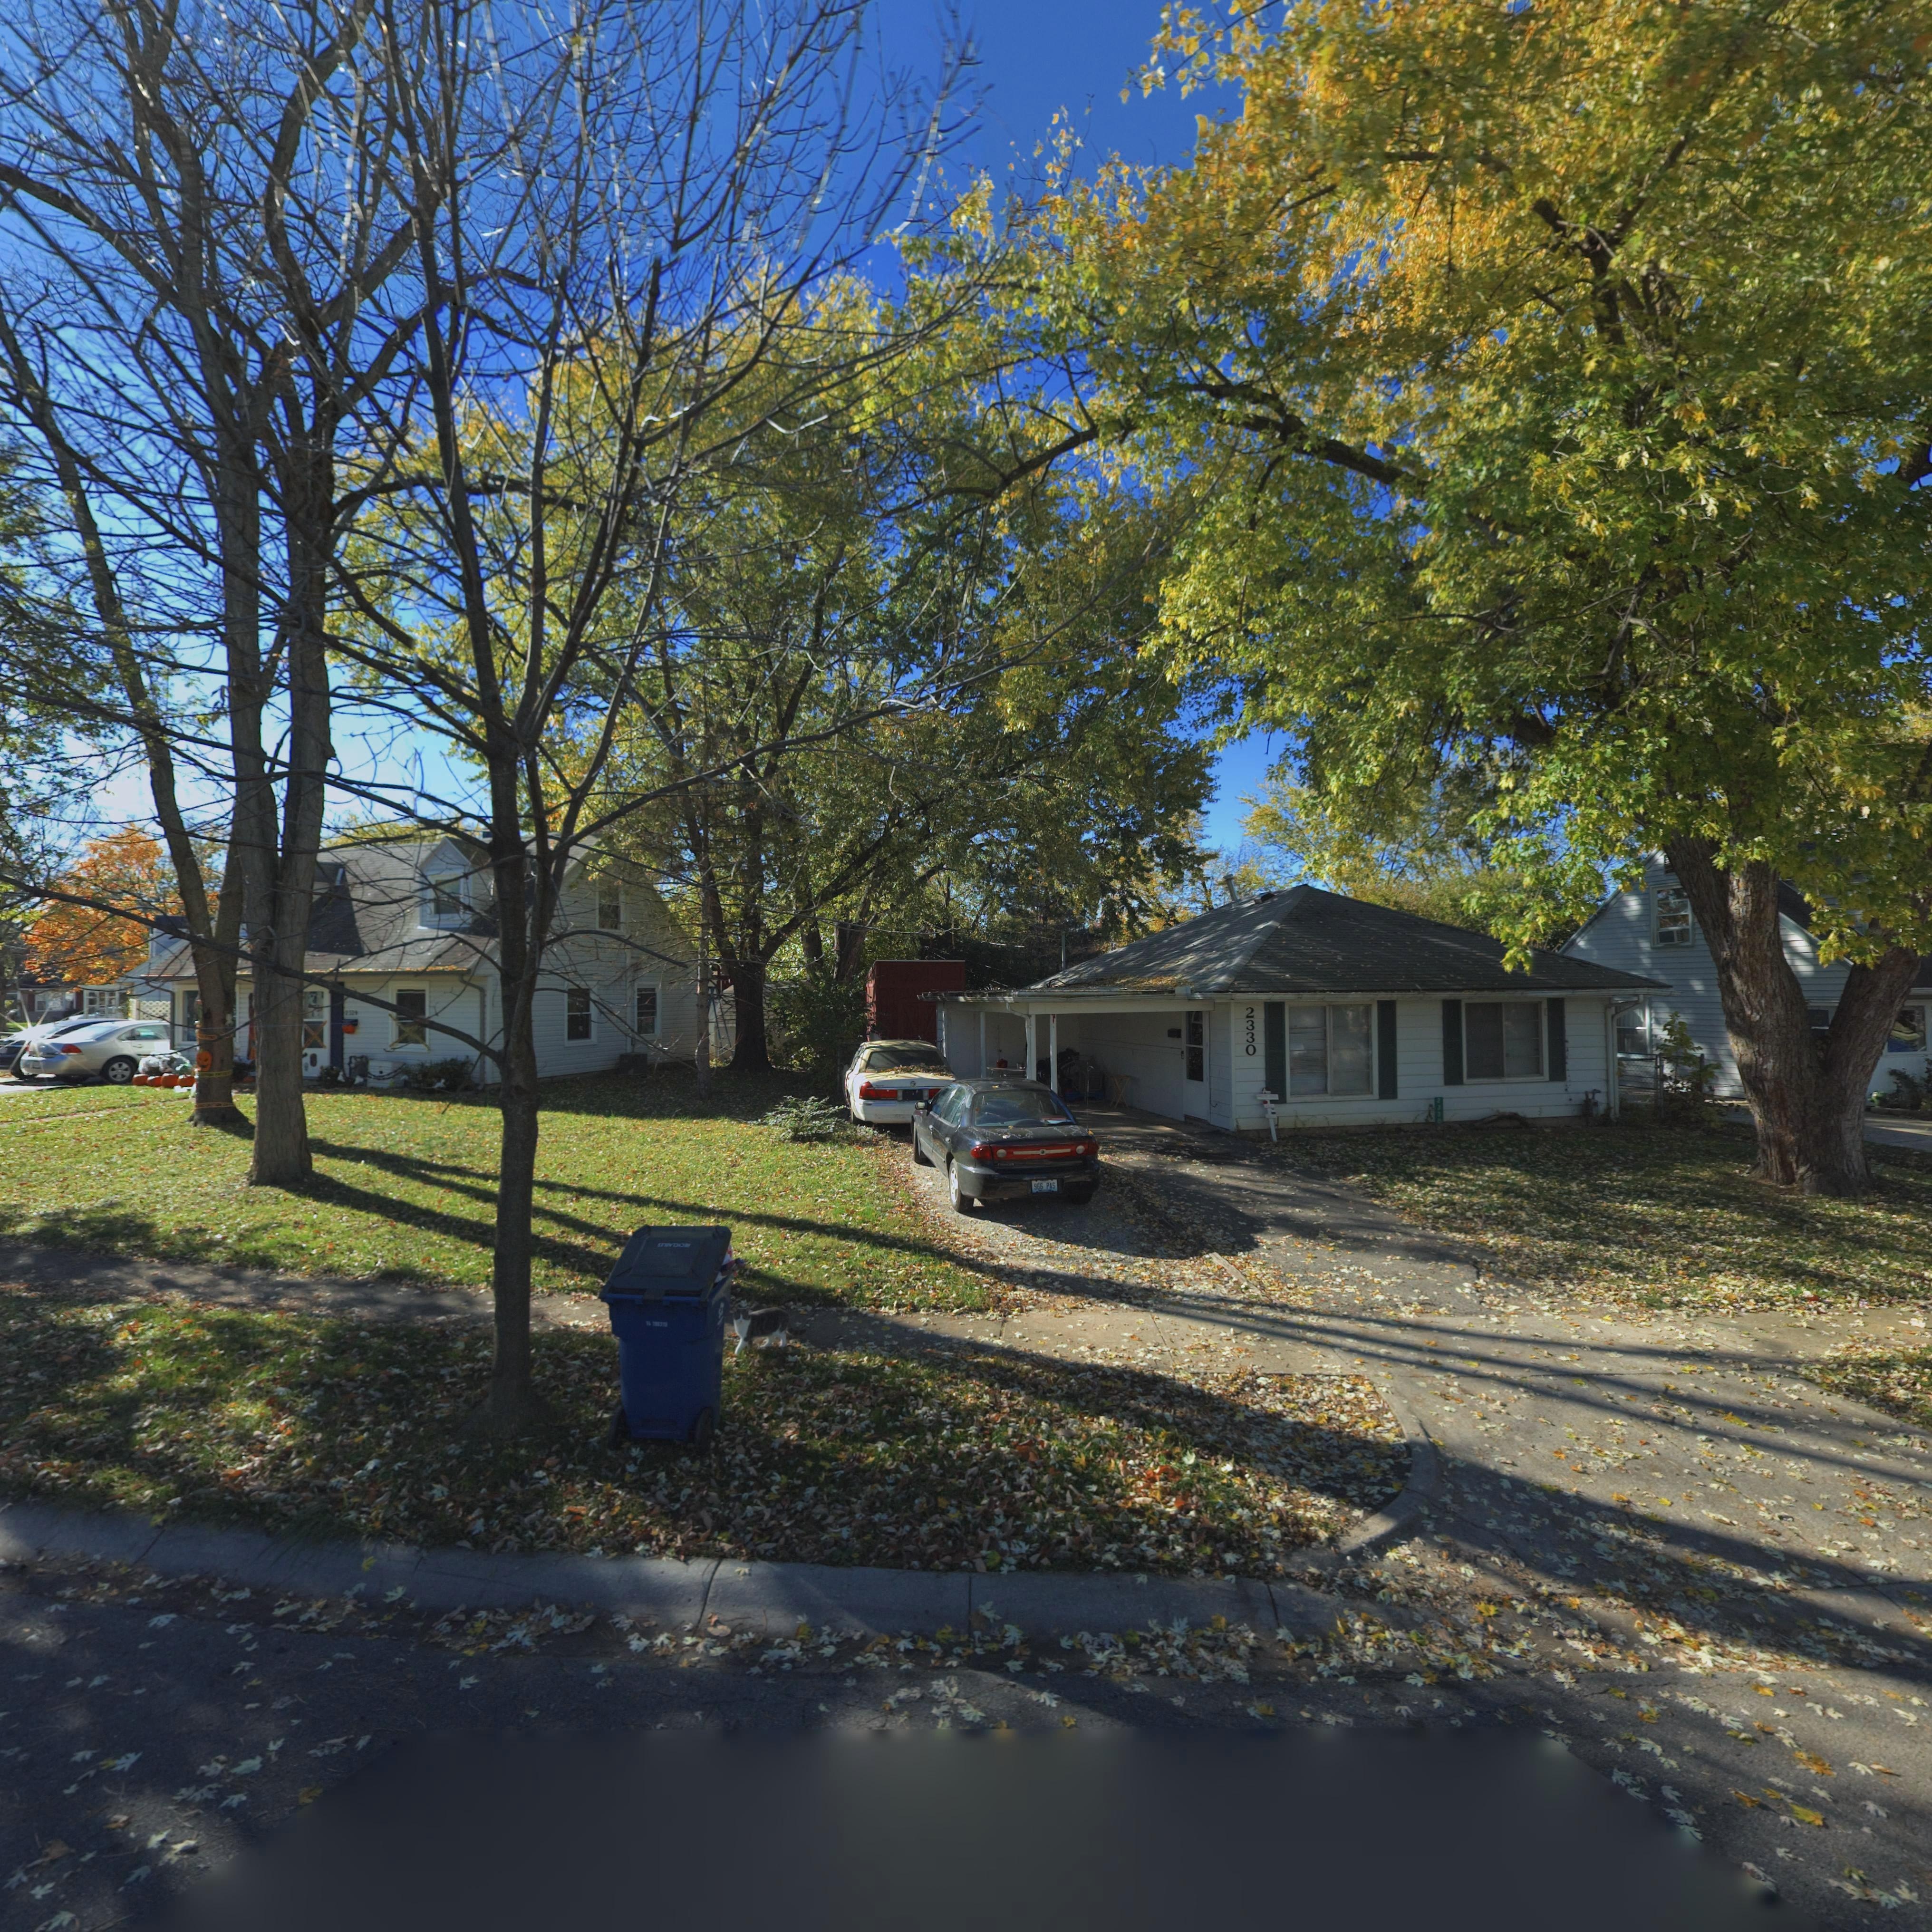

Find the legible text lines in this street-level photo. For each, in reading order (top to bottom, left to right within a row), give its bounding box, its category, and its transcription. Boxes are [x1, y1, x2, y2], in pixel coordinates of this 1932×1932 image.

[1245, 1006, 1258, 1057] StreetNumber: 2330
[1436, 1097, 1442, 1125] StreetNumber: 2***